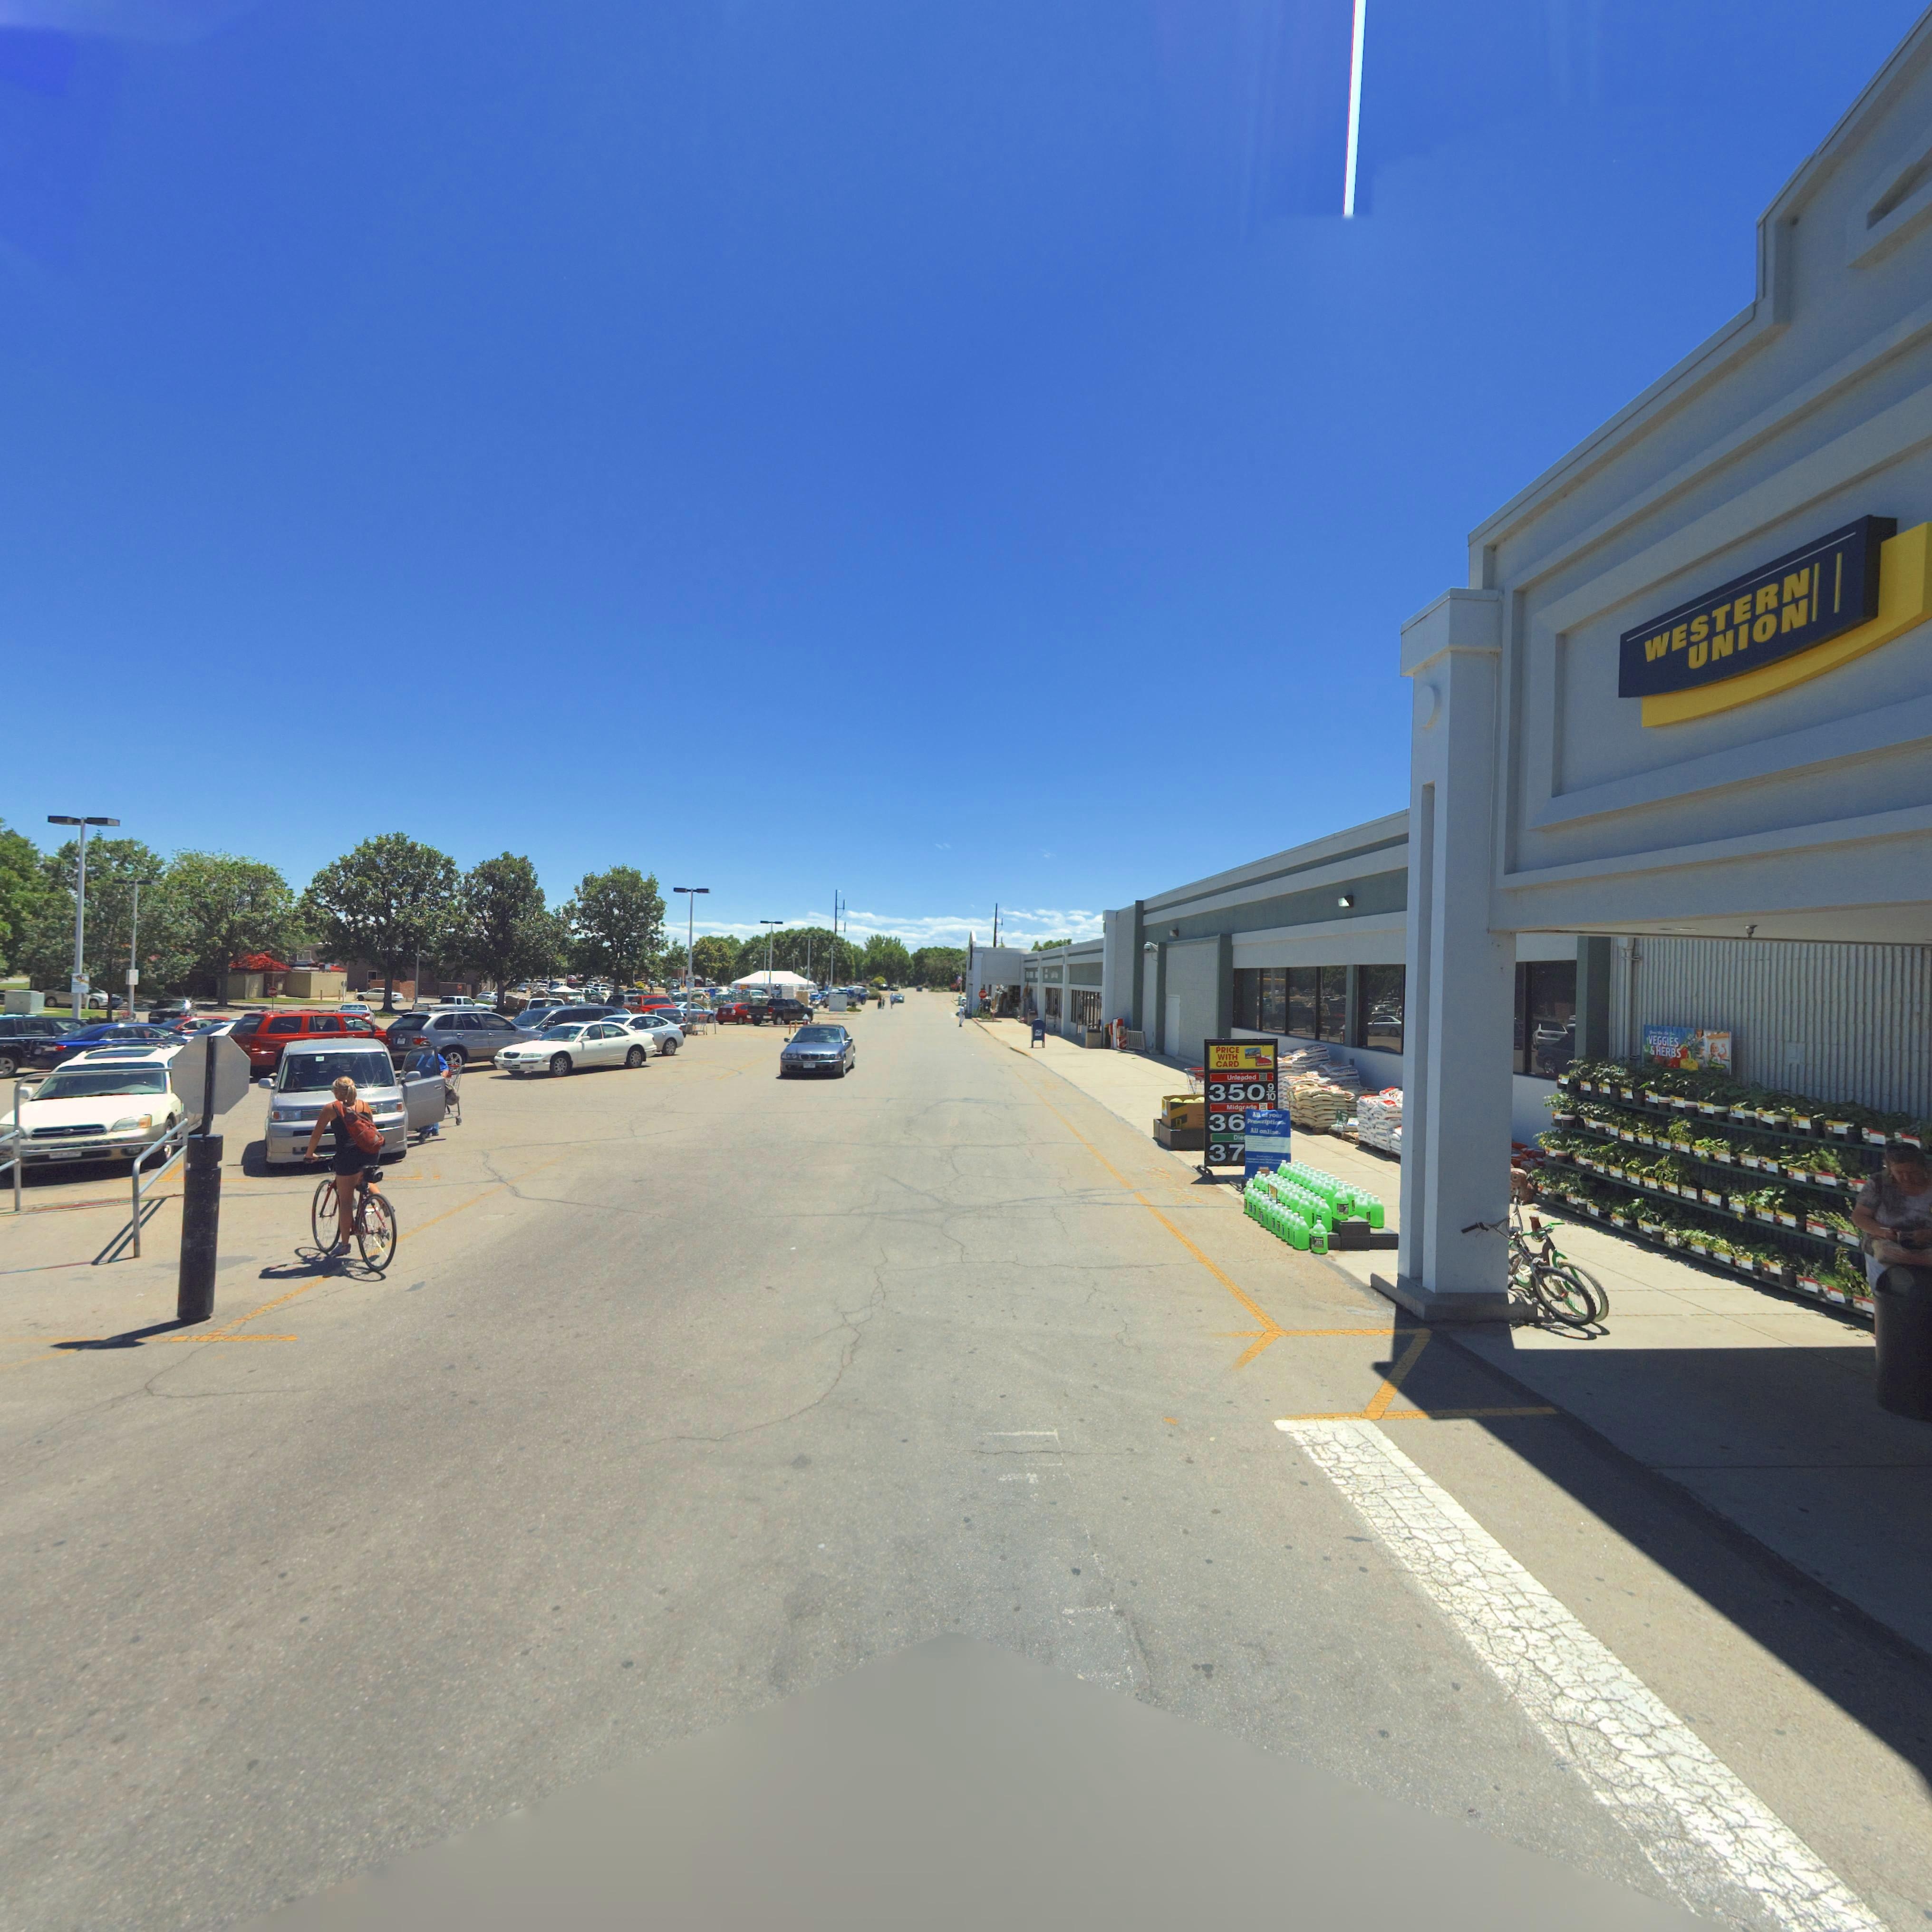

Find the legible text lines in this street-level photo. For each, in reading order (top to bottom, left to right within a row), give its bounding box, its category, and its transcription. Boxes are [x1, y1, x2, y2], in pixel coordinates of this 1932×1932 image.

[1643, 566, 1810, 663] BusinessName: WESTERN
[1687, 597, 1808, 669] BusinessName: UNION